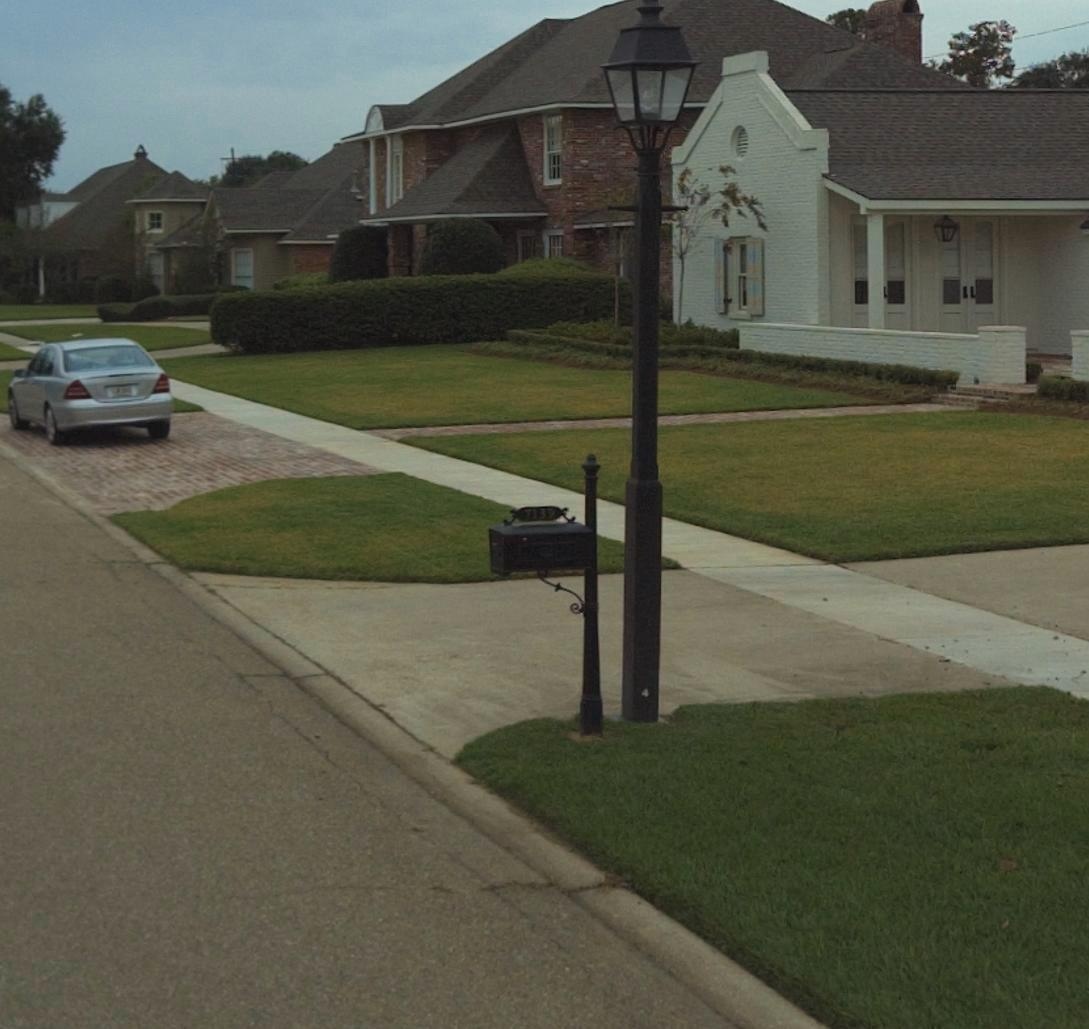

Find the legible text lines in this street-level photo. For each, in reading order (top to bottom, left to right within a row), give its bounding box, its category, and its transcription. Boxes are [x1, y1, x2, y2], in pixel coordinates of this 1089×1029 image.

[523, 509, 557, 520] StreetNumber: 7139